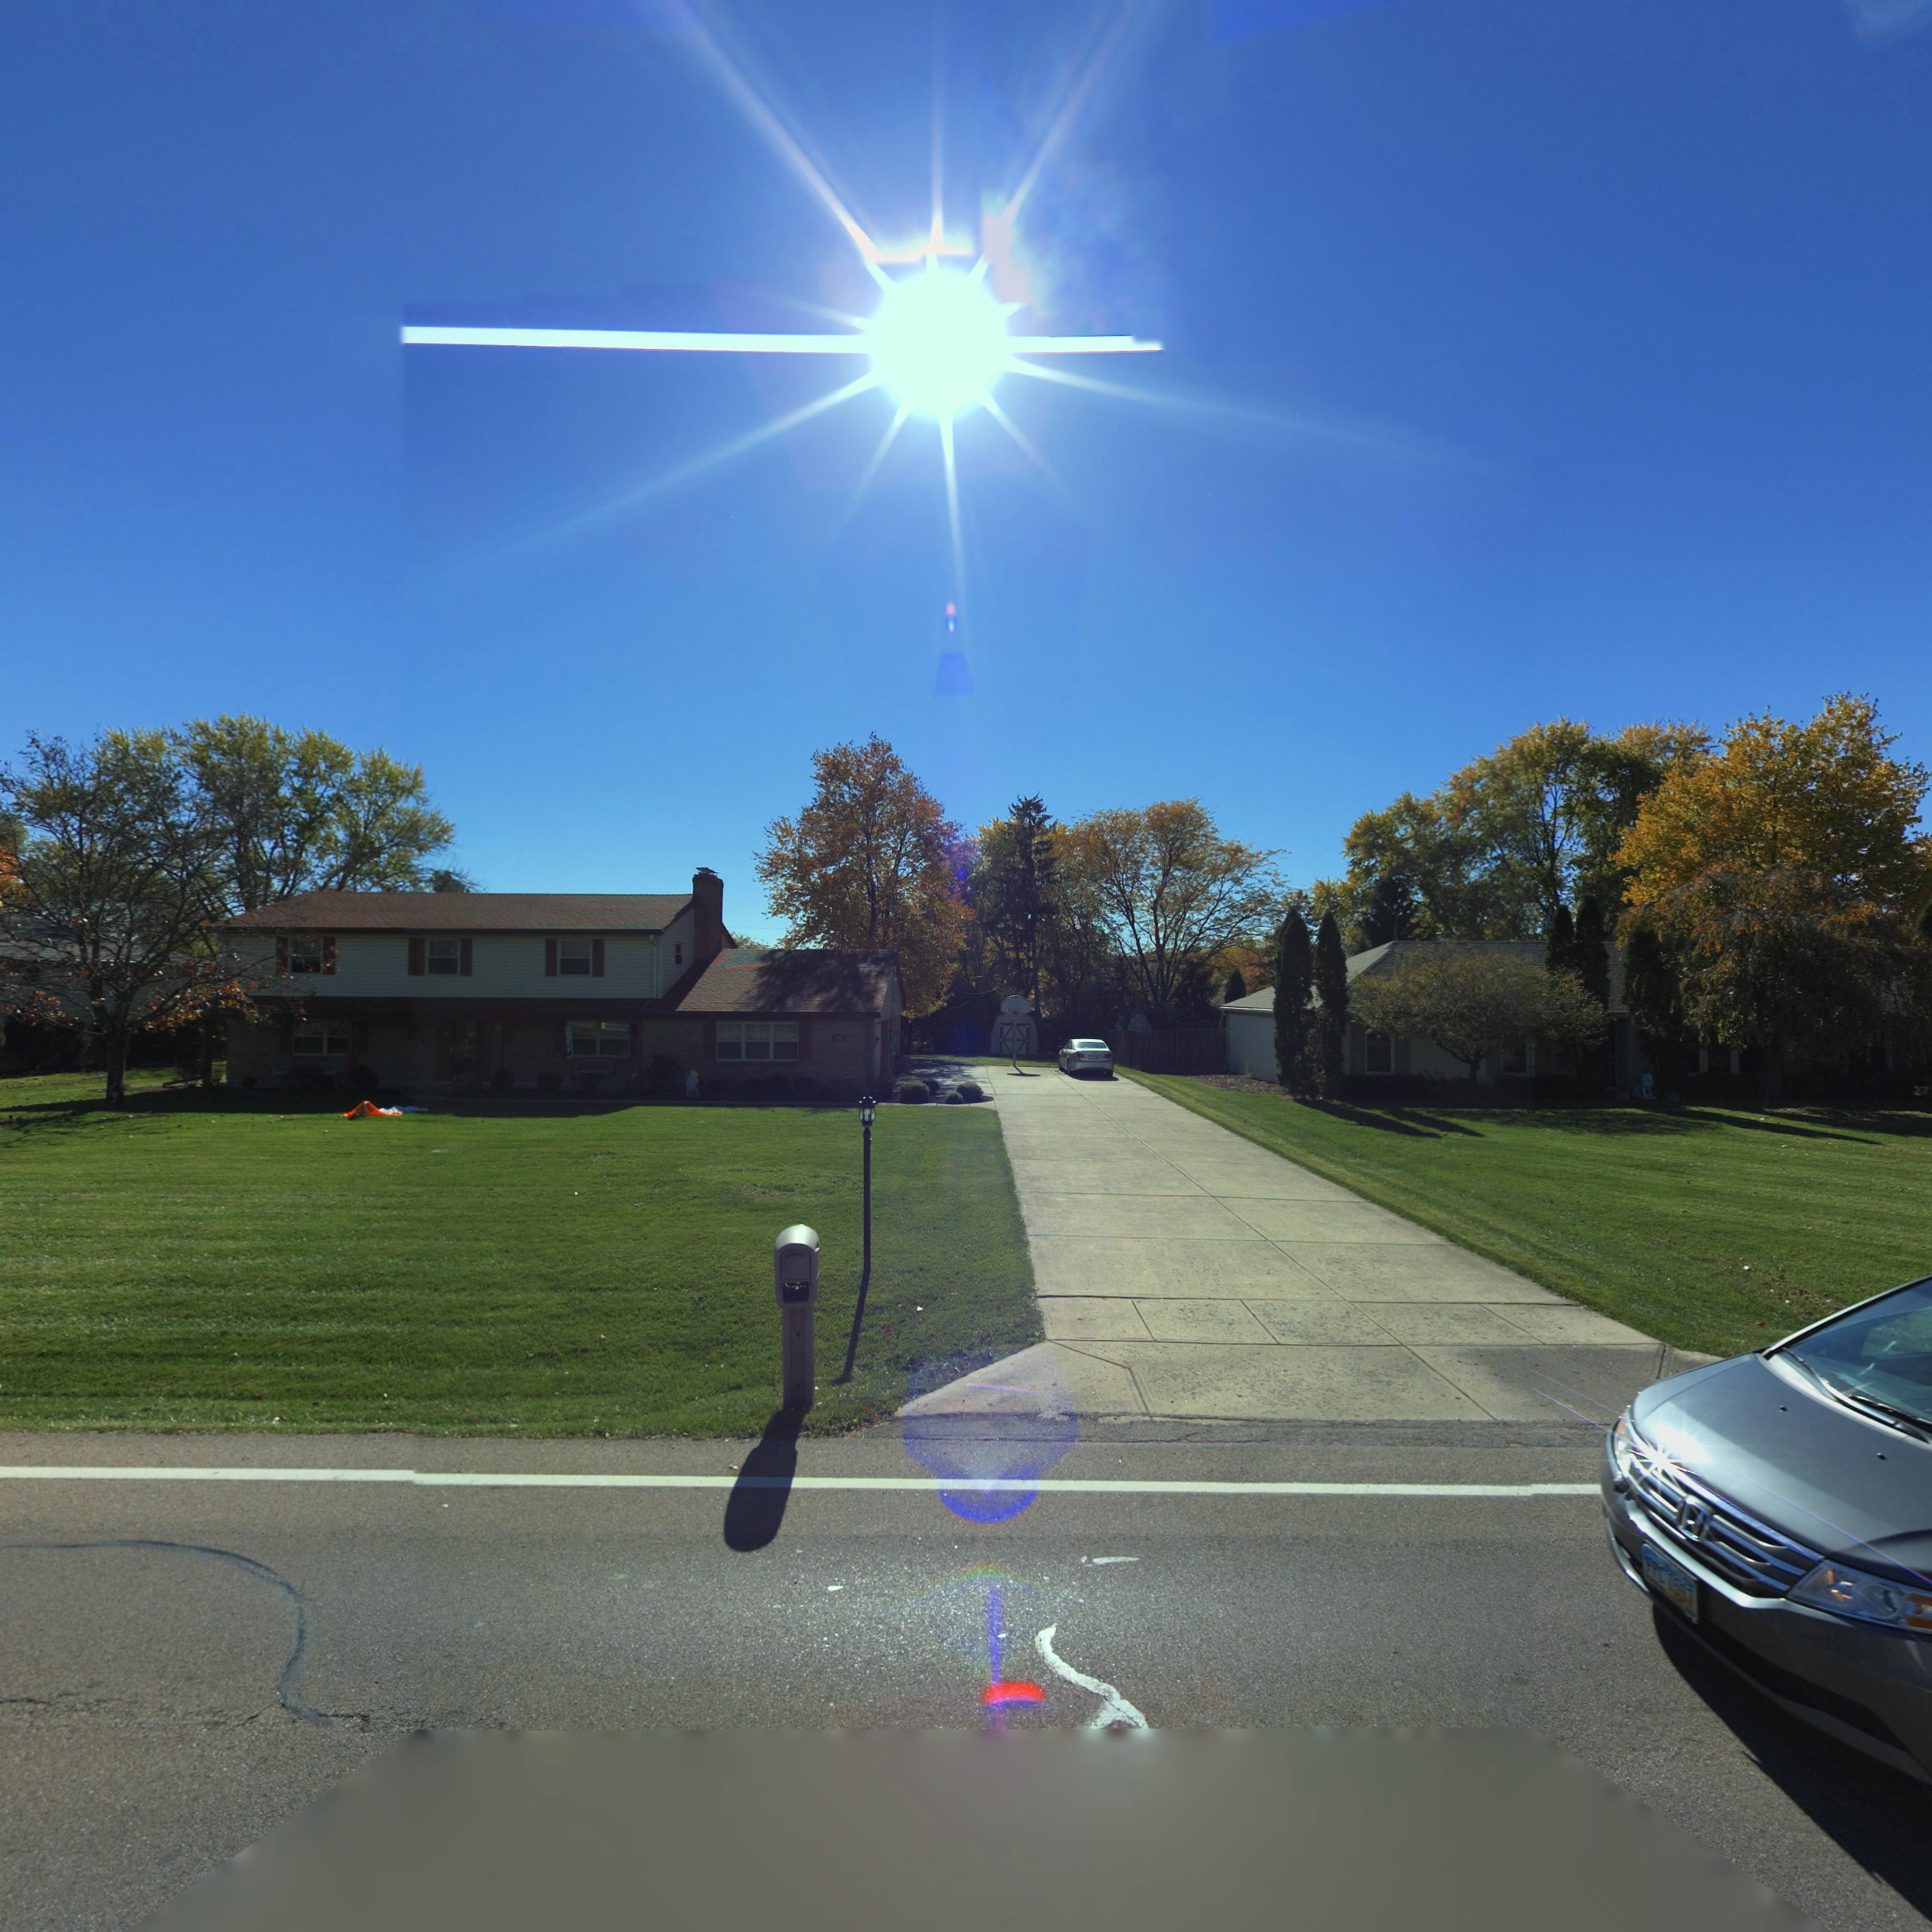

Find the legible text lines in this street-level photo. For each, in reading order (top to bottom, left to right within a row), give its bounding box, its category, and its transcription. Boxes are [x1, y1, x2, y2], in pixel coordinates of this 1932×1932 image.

[835, 1035, 842, 1040] StreetNumber: 5*2